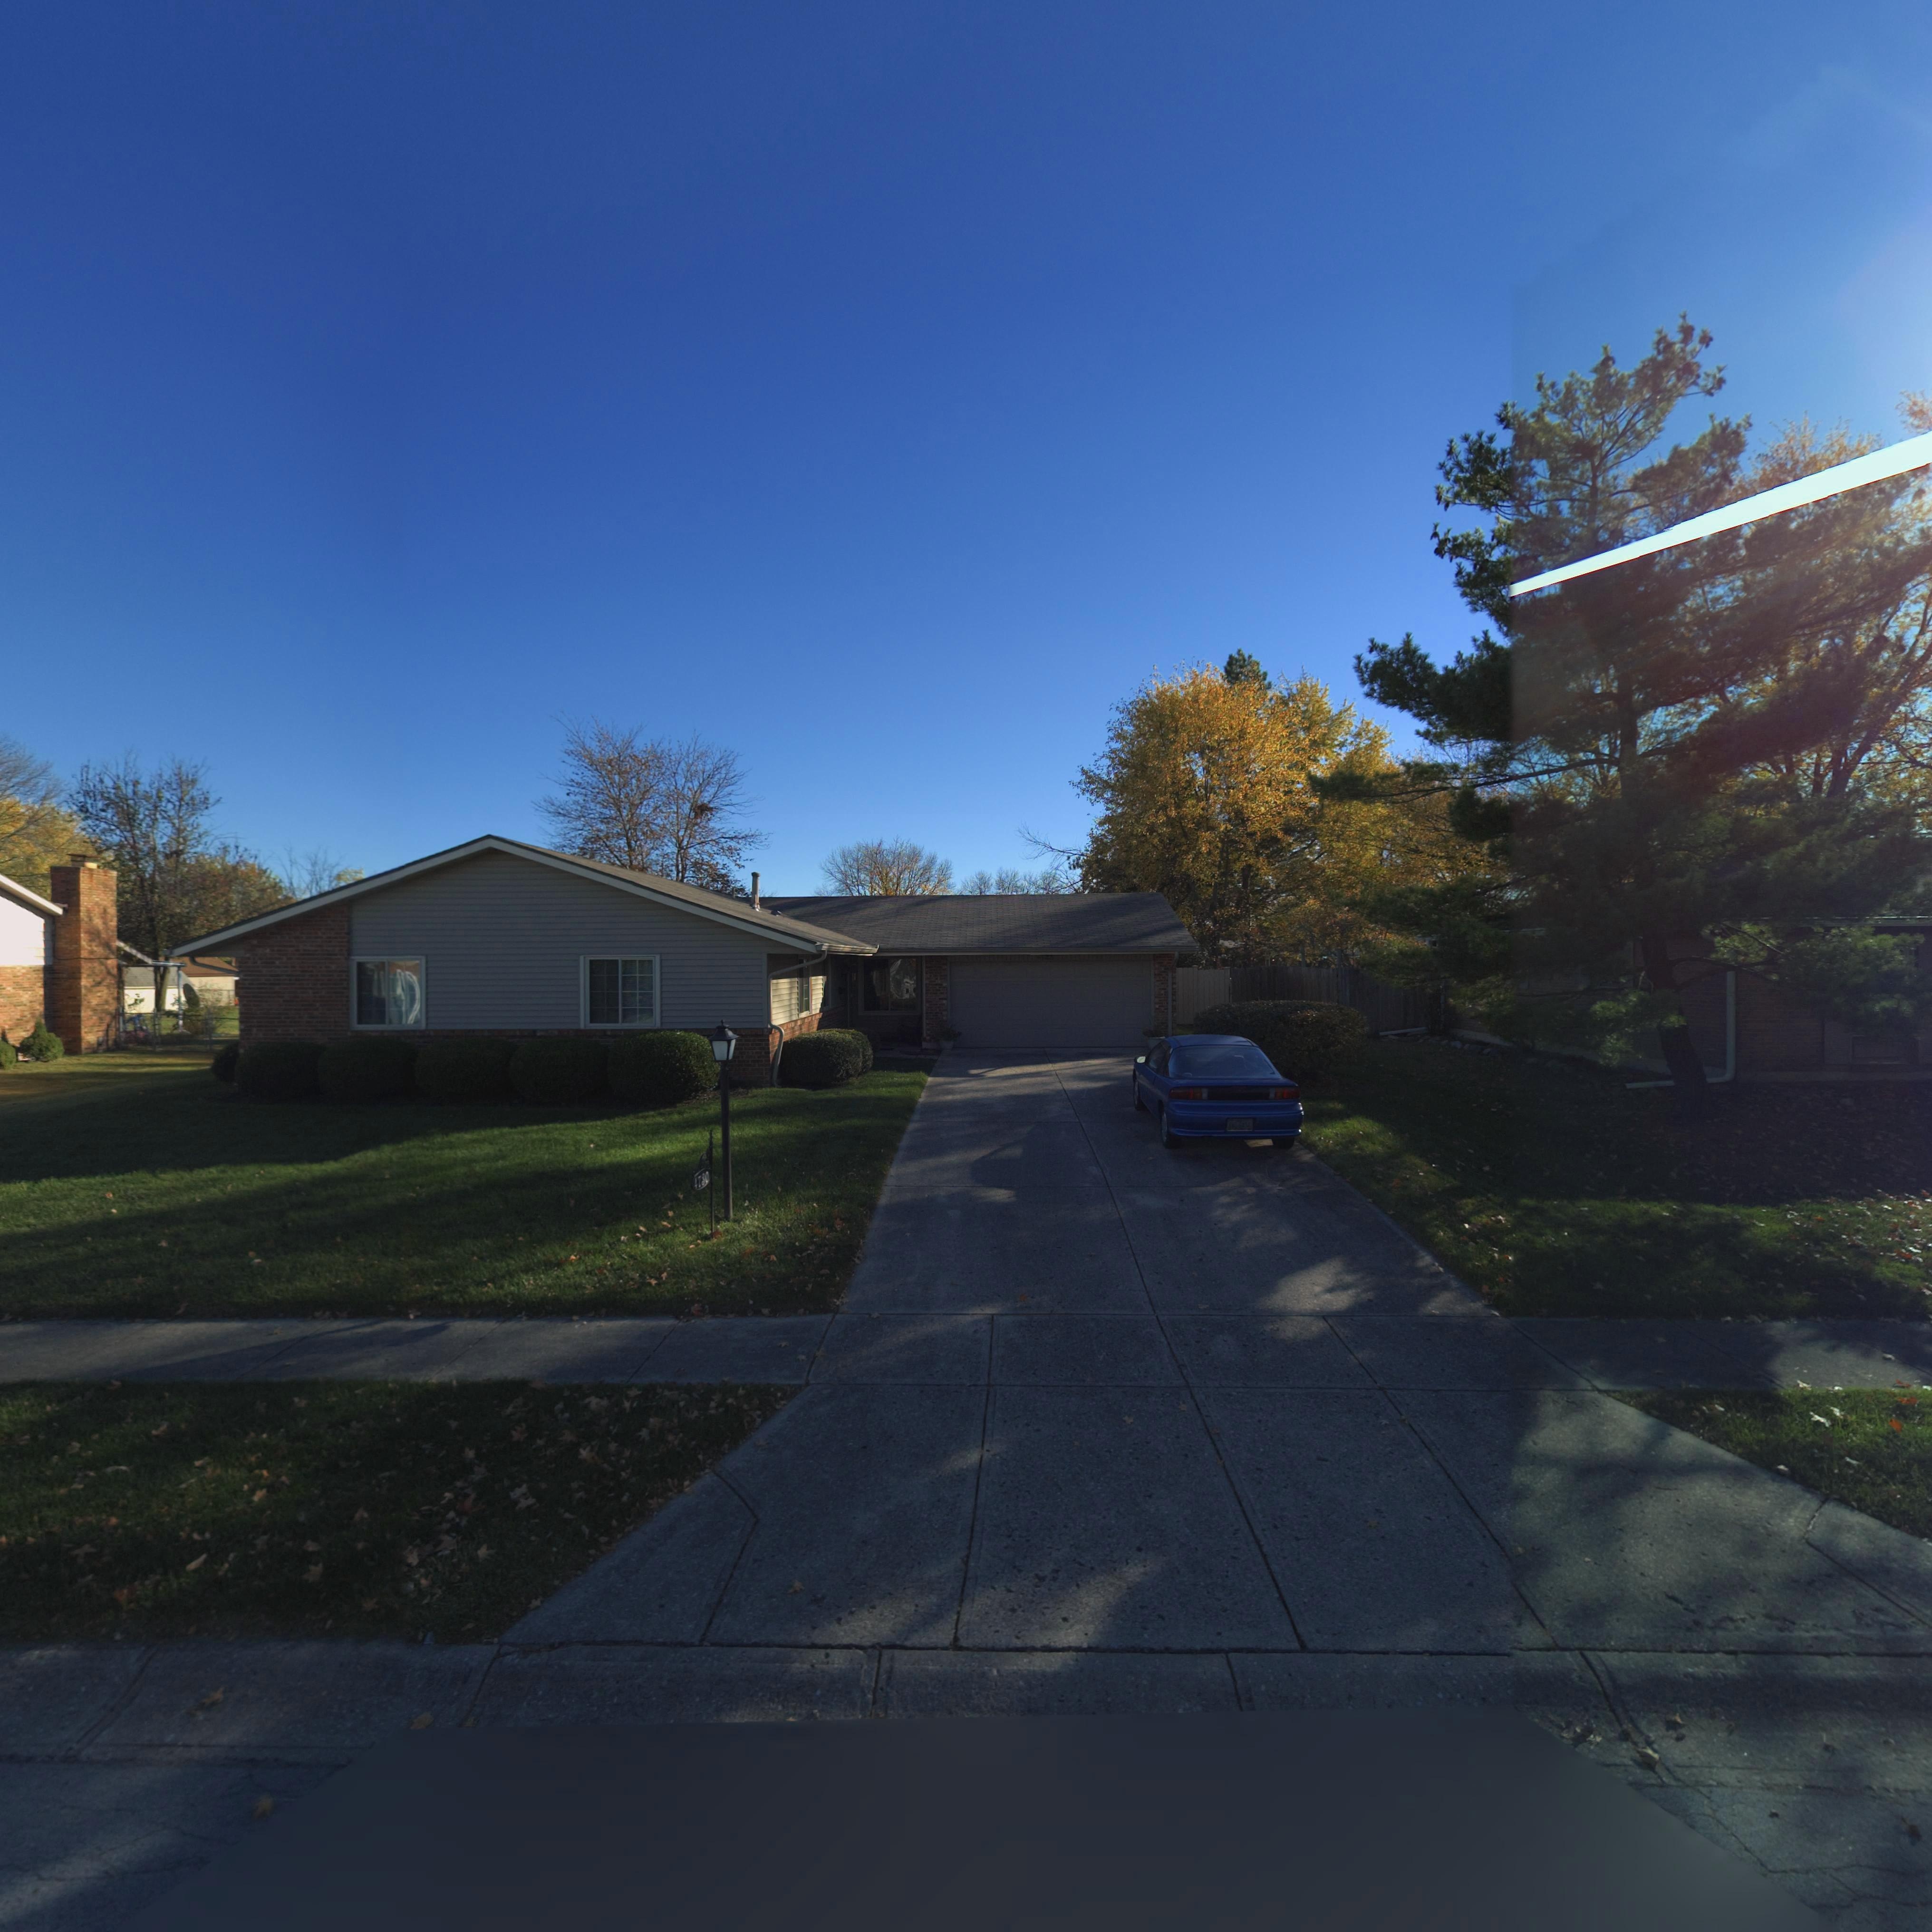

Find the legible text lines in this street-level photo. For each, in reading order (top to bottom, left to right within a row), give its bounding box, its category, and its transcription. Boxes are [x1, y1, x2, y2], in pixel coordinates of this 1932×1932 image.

[694, 1169, 710, 1190] StreetNumber: 4730